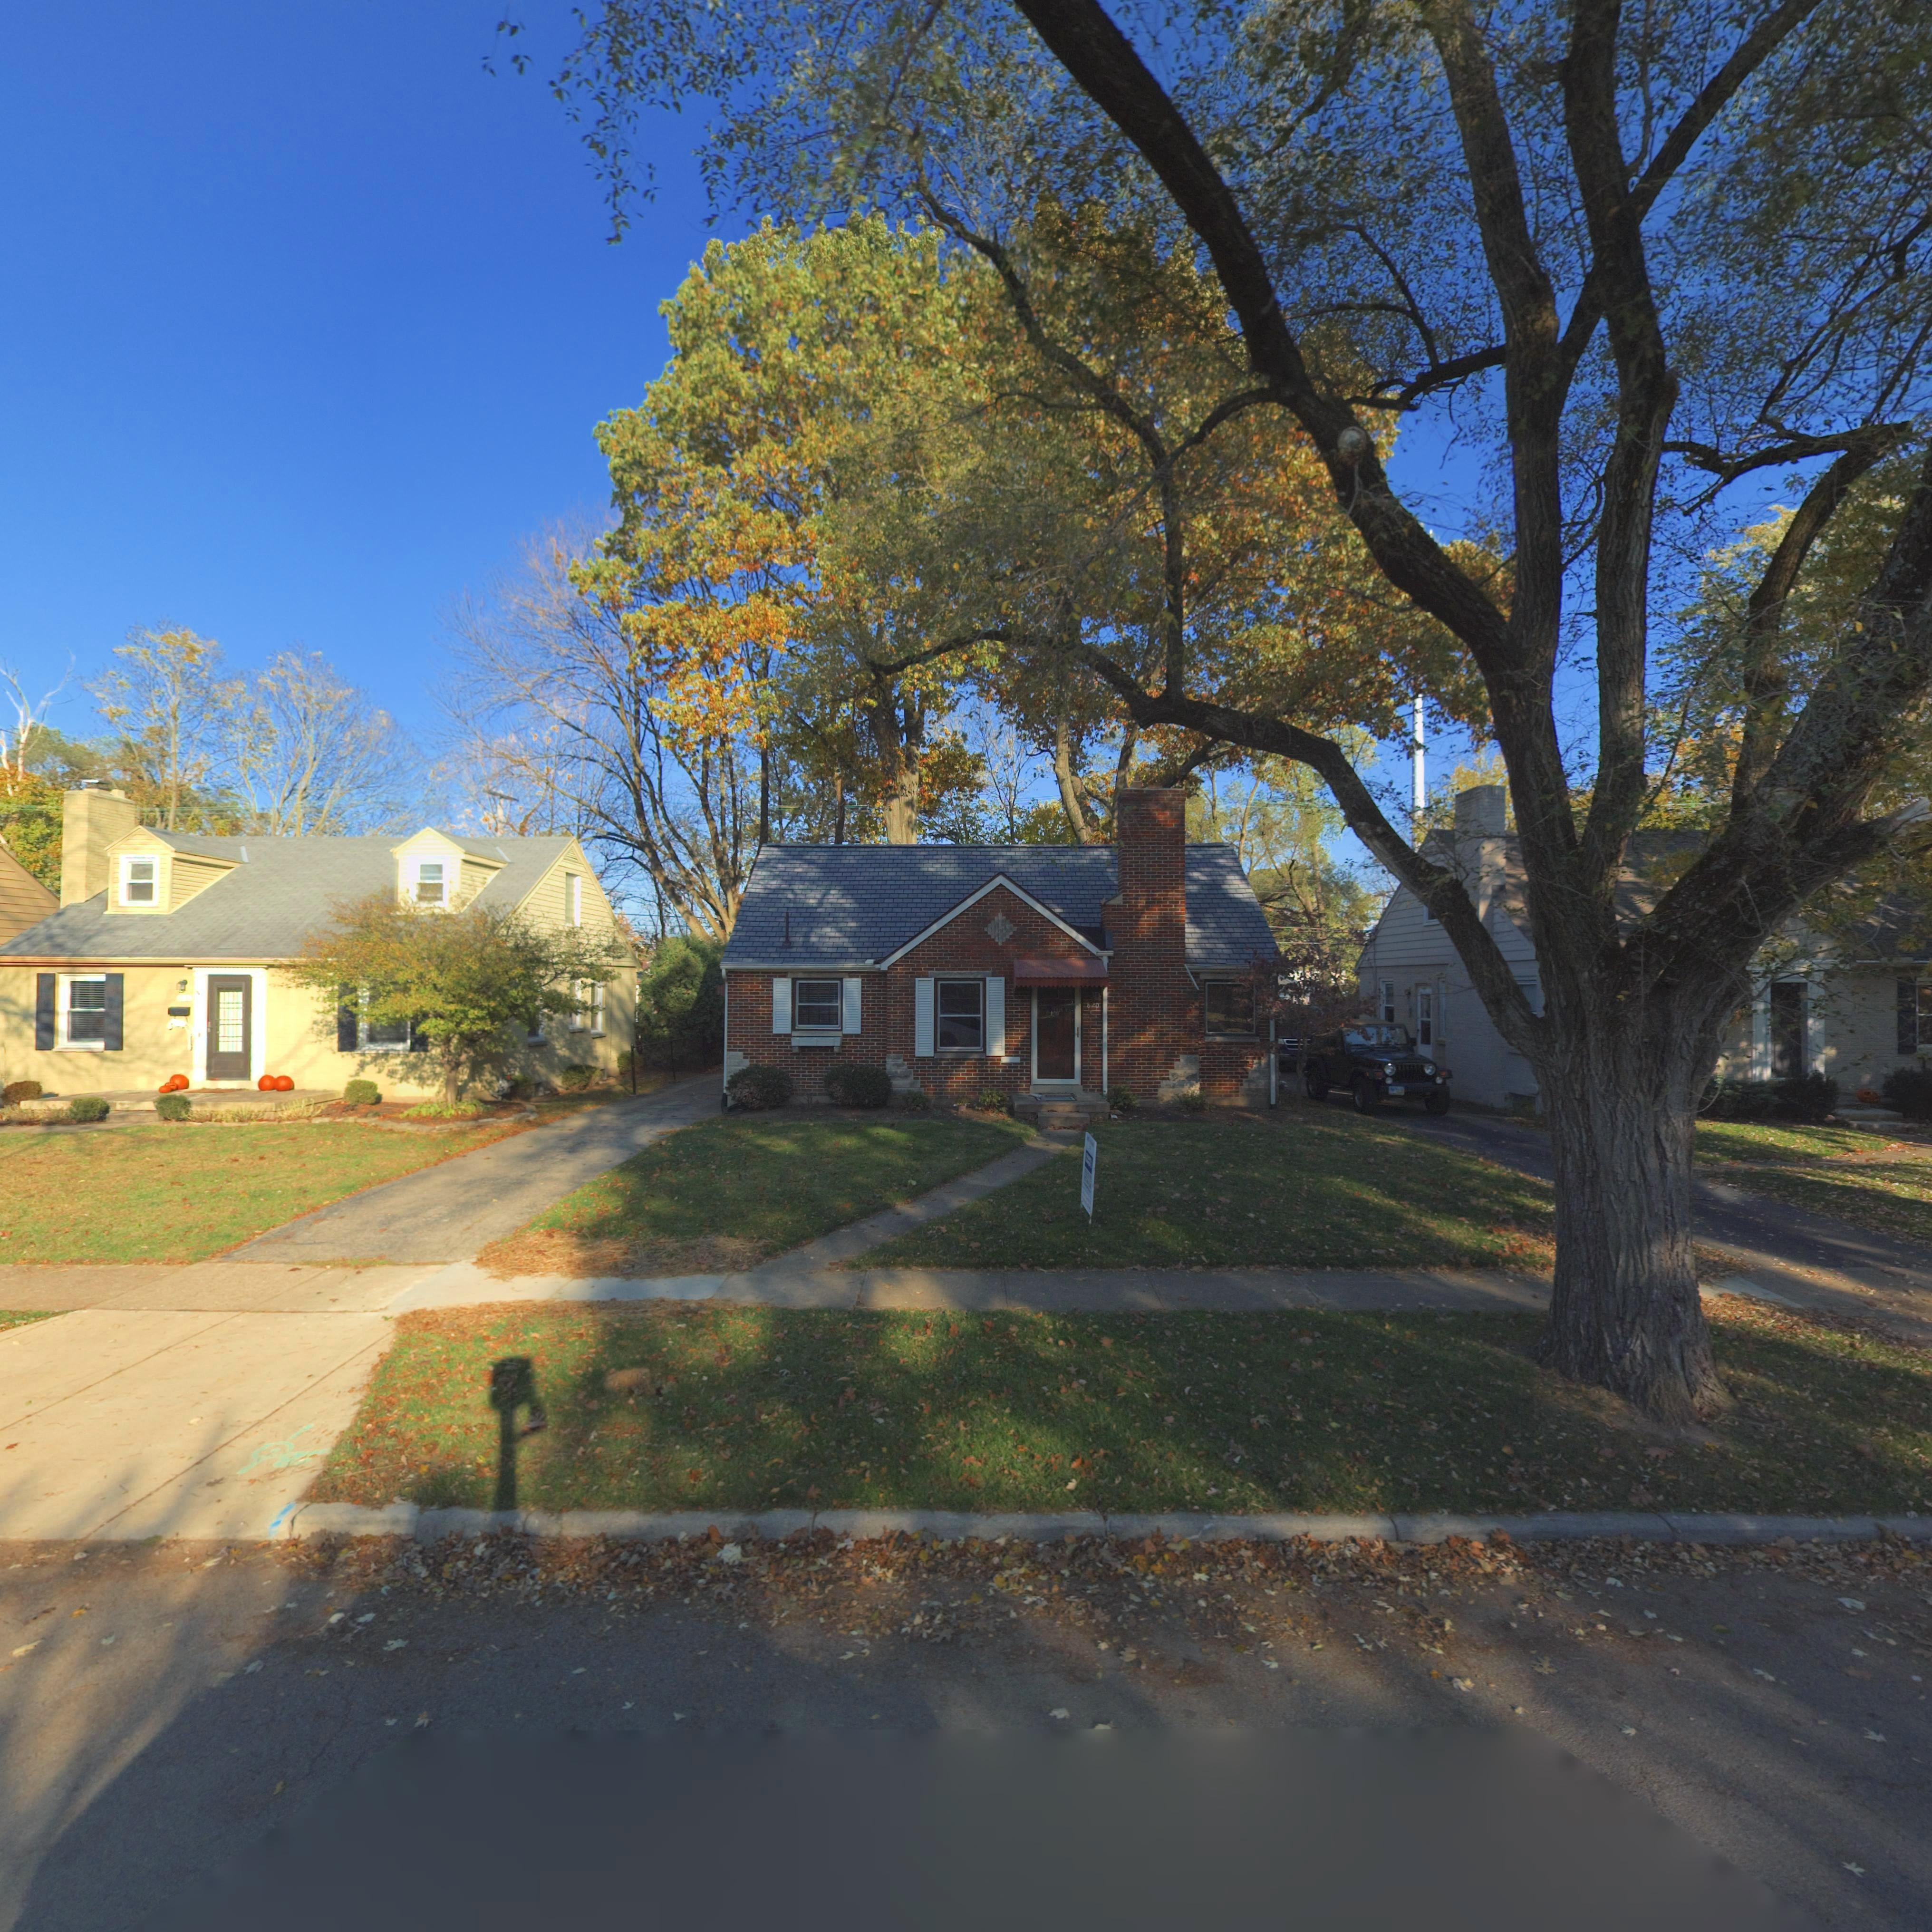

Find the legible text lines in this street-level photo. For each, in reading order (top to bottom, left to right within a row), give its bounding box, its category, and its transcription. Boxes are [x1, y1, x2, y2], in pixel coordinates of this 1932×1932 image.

[1086, 1001, 1100, 1008] StreetNumber: 820